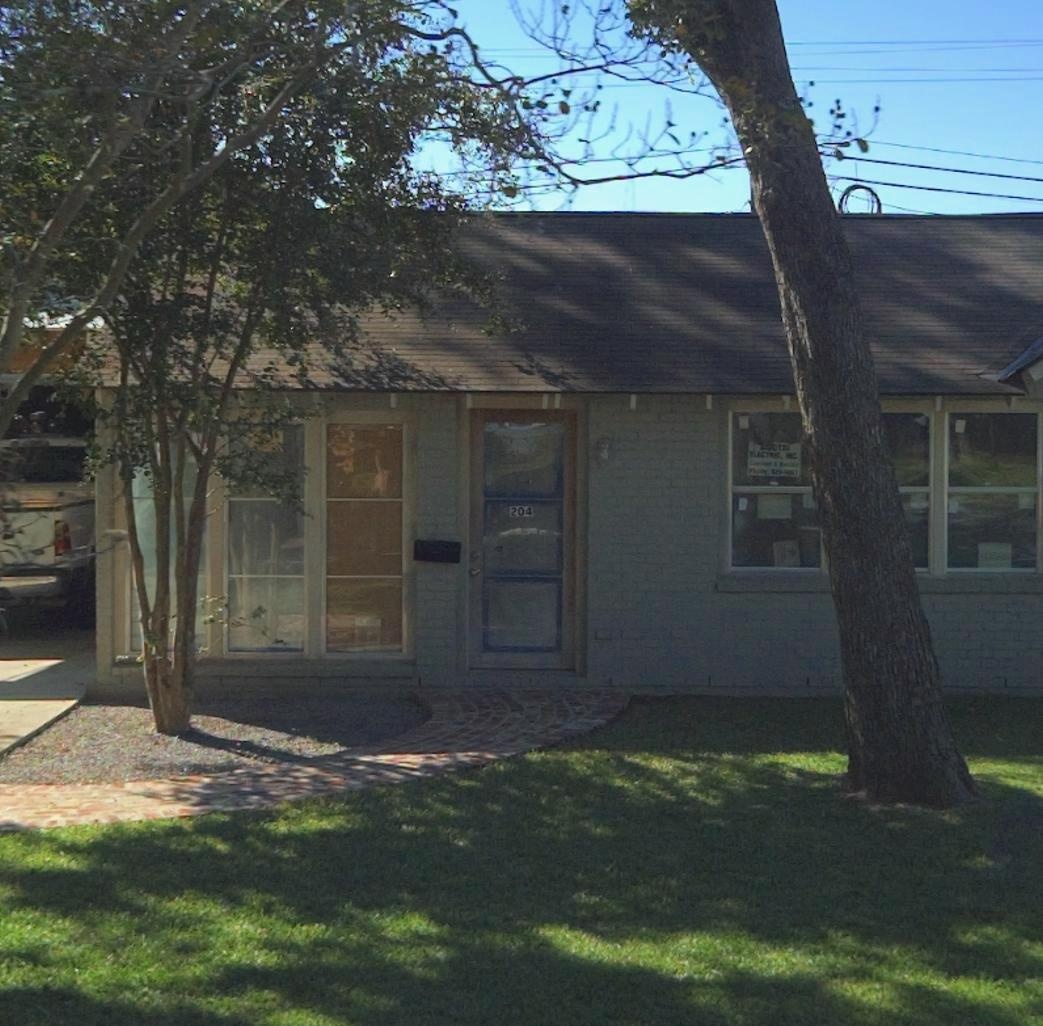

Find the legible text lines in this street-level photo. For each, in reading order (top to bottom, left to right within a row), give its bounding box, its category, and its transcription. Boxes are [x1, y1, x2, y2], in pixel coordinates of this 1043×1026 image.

[510, 506, 533, 517] StreetNumber: 204